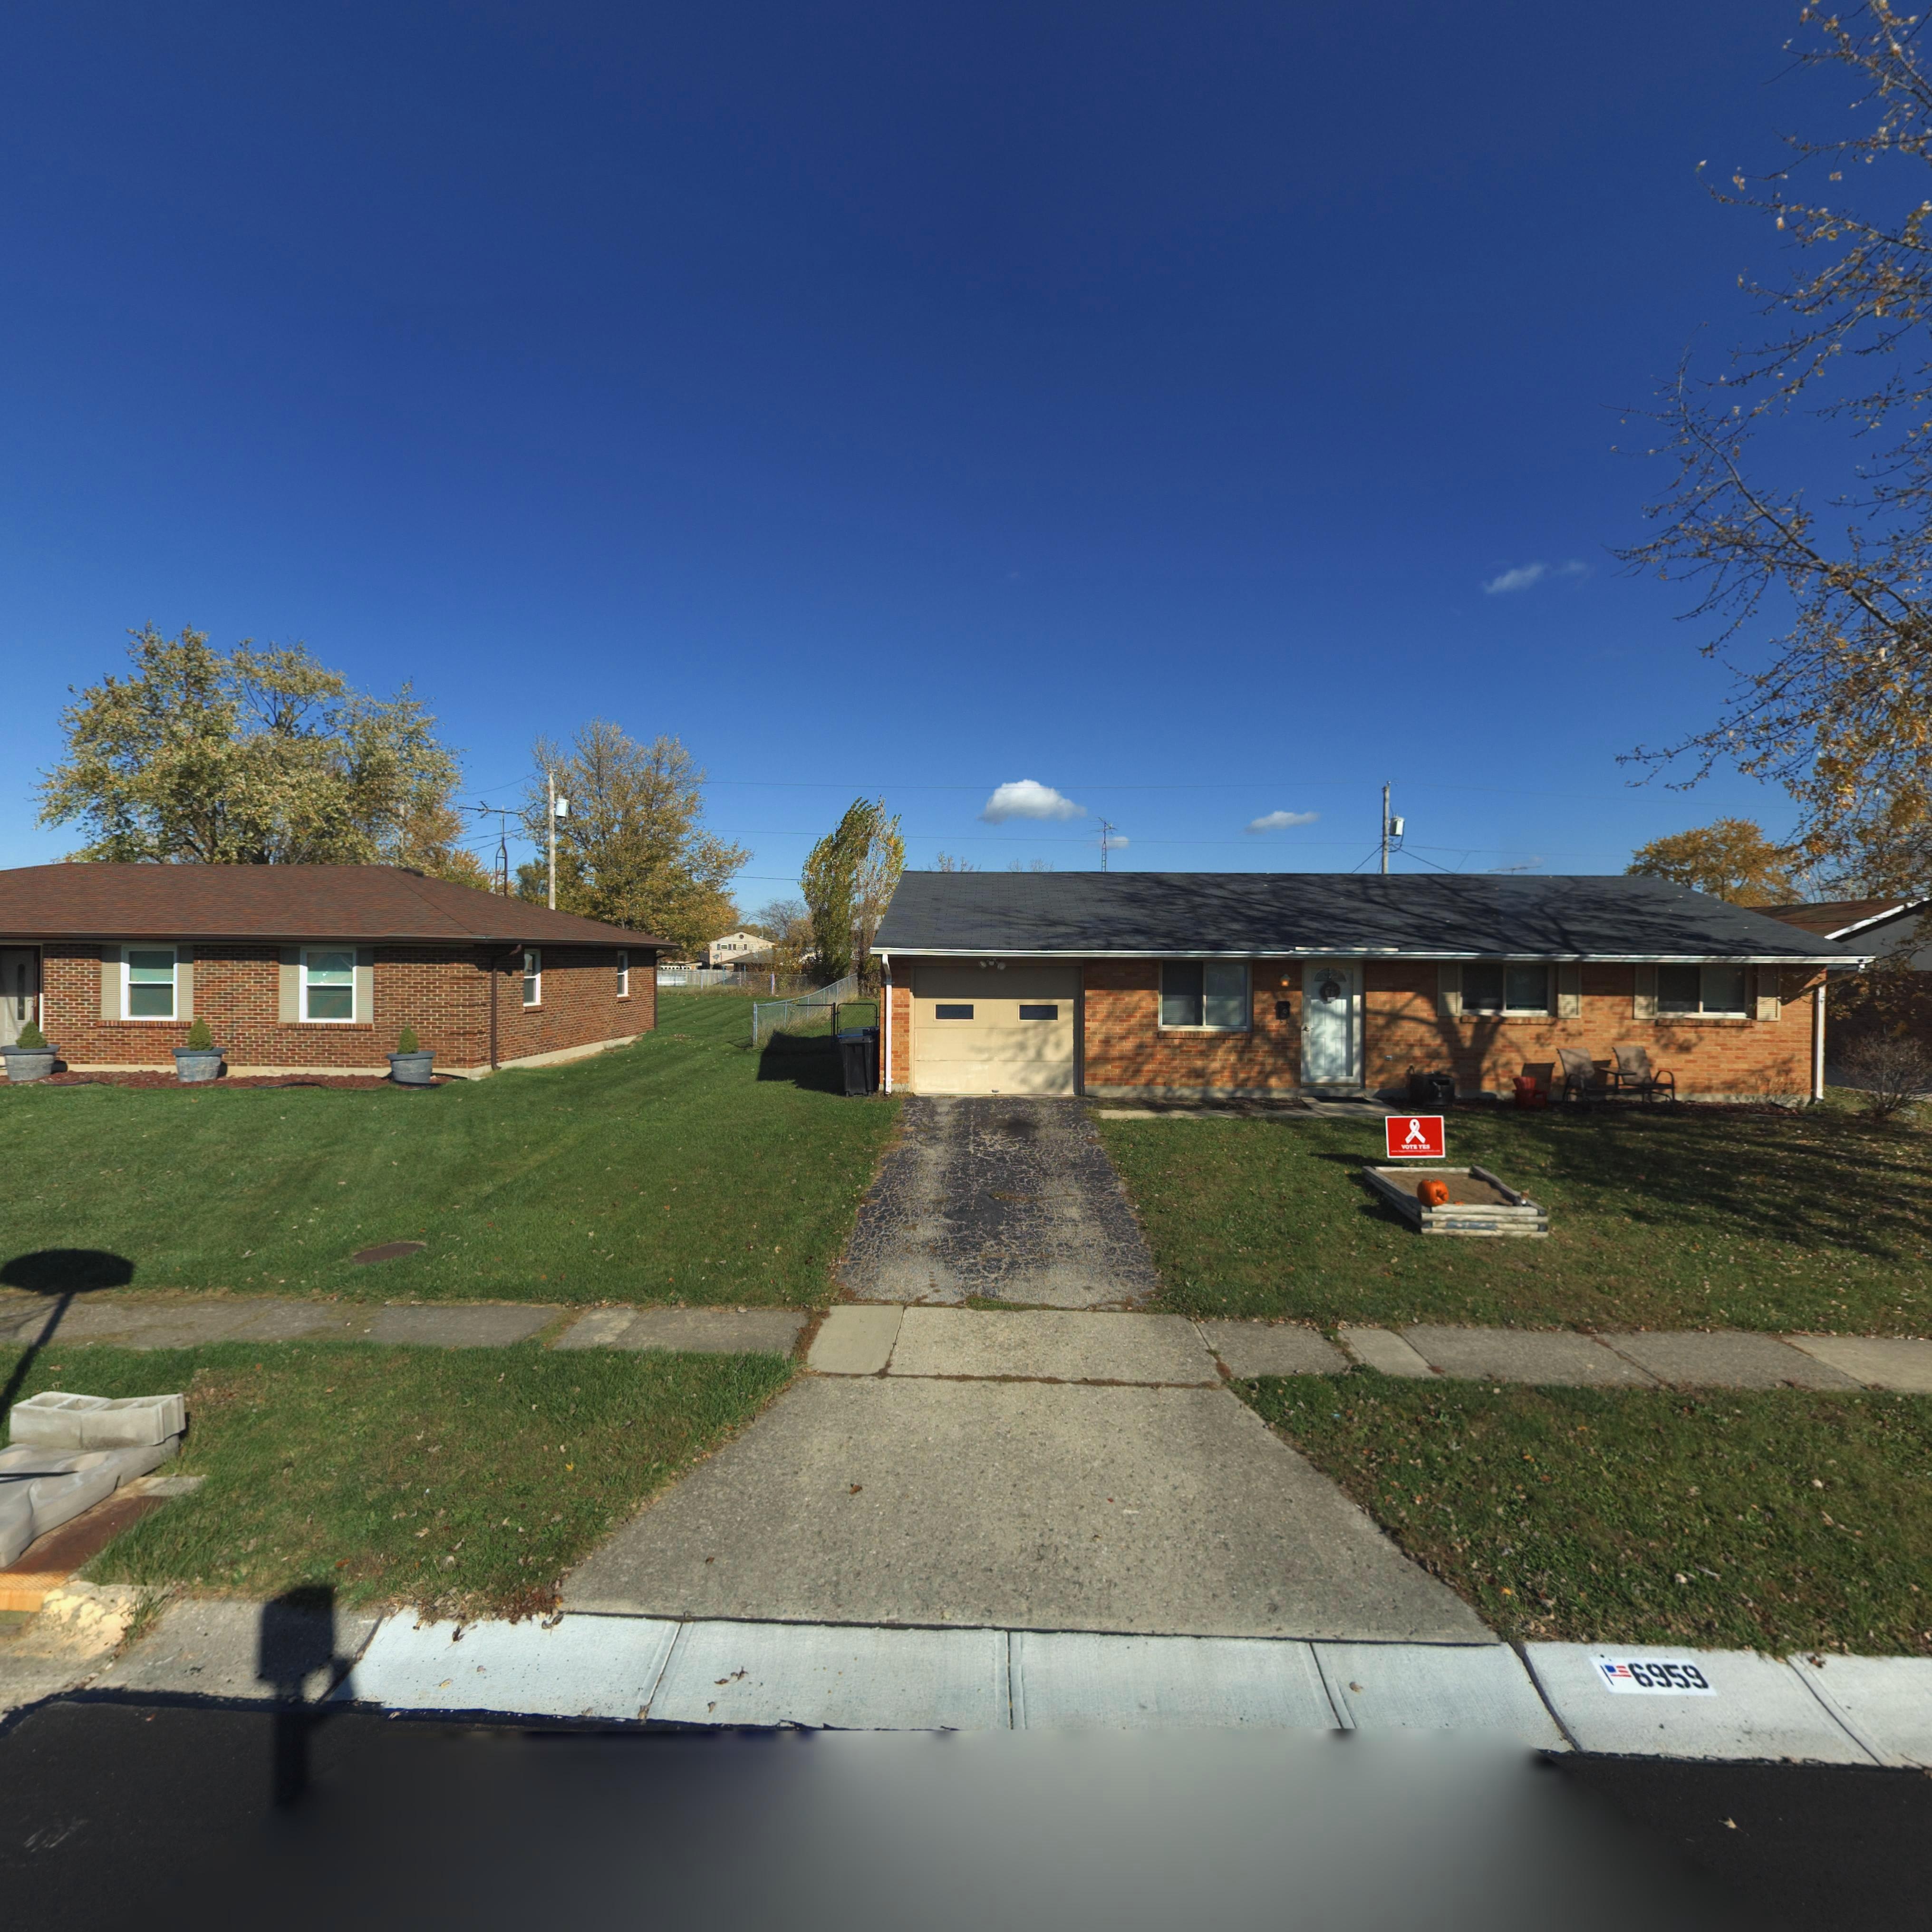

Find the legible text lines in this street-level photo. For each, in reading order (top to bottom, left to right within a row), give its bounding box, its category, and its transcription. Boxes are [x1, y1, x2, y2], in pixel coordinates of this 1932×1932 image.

[1626, 1663, 1710, 1690] StreetNumber: 6959